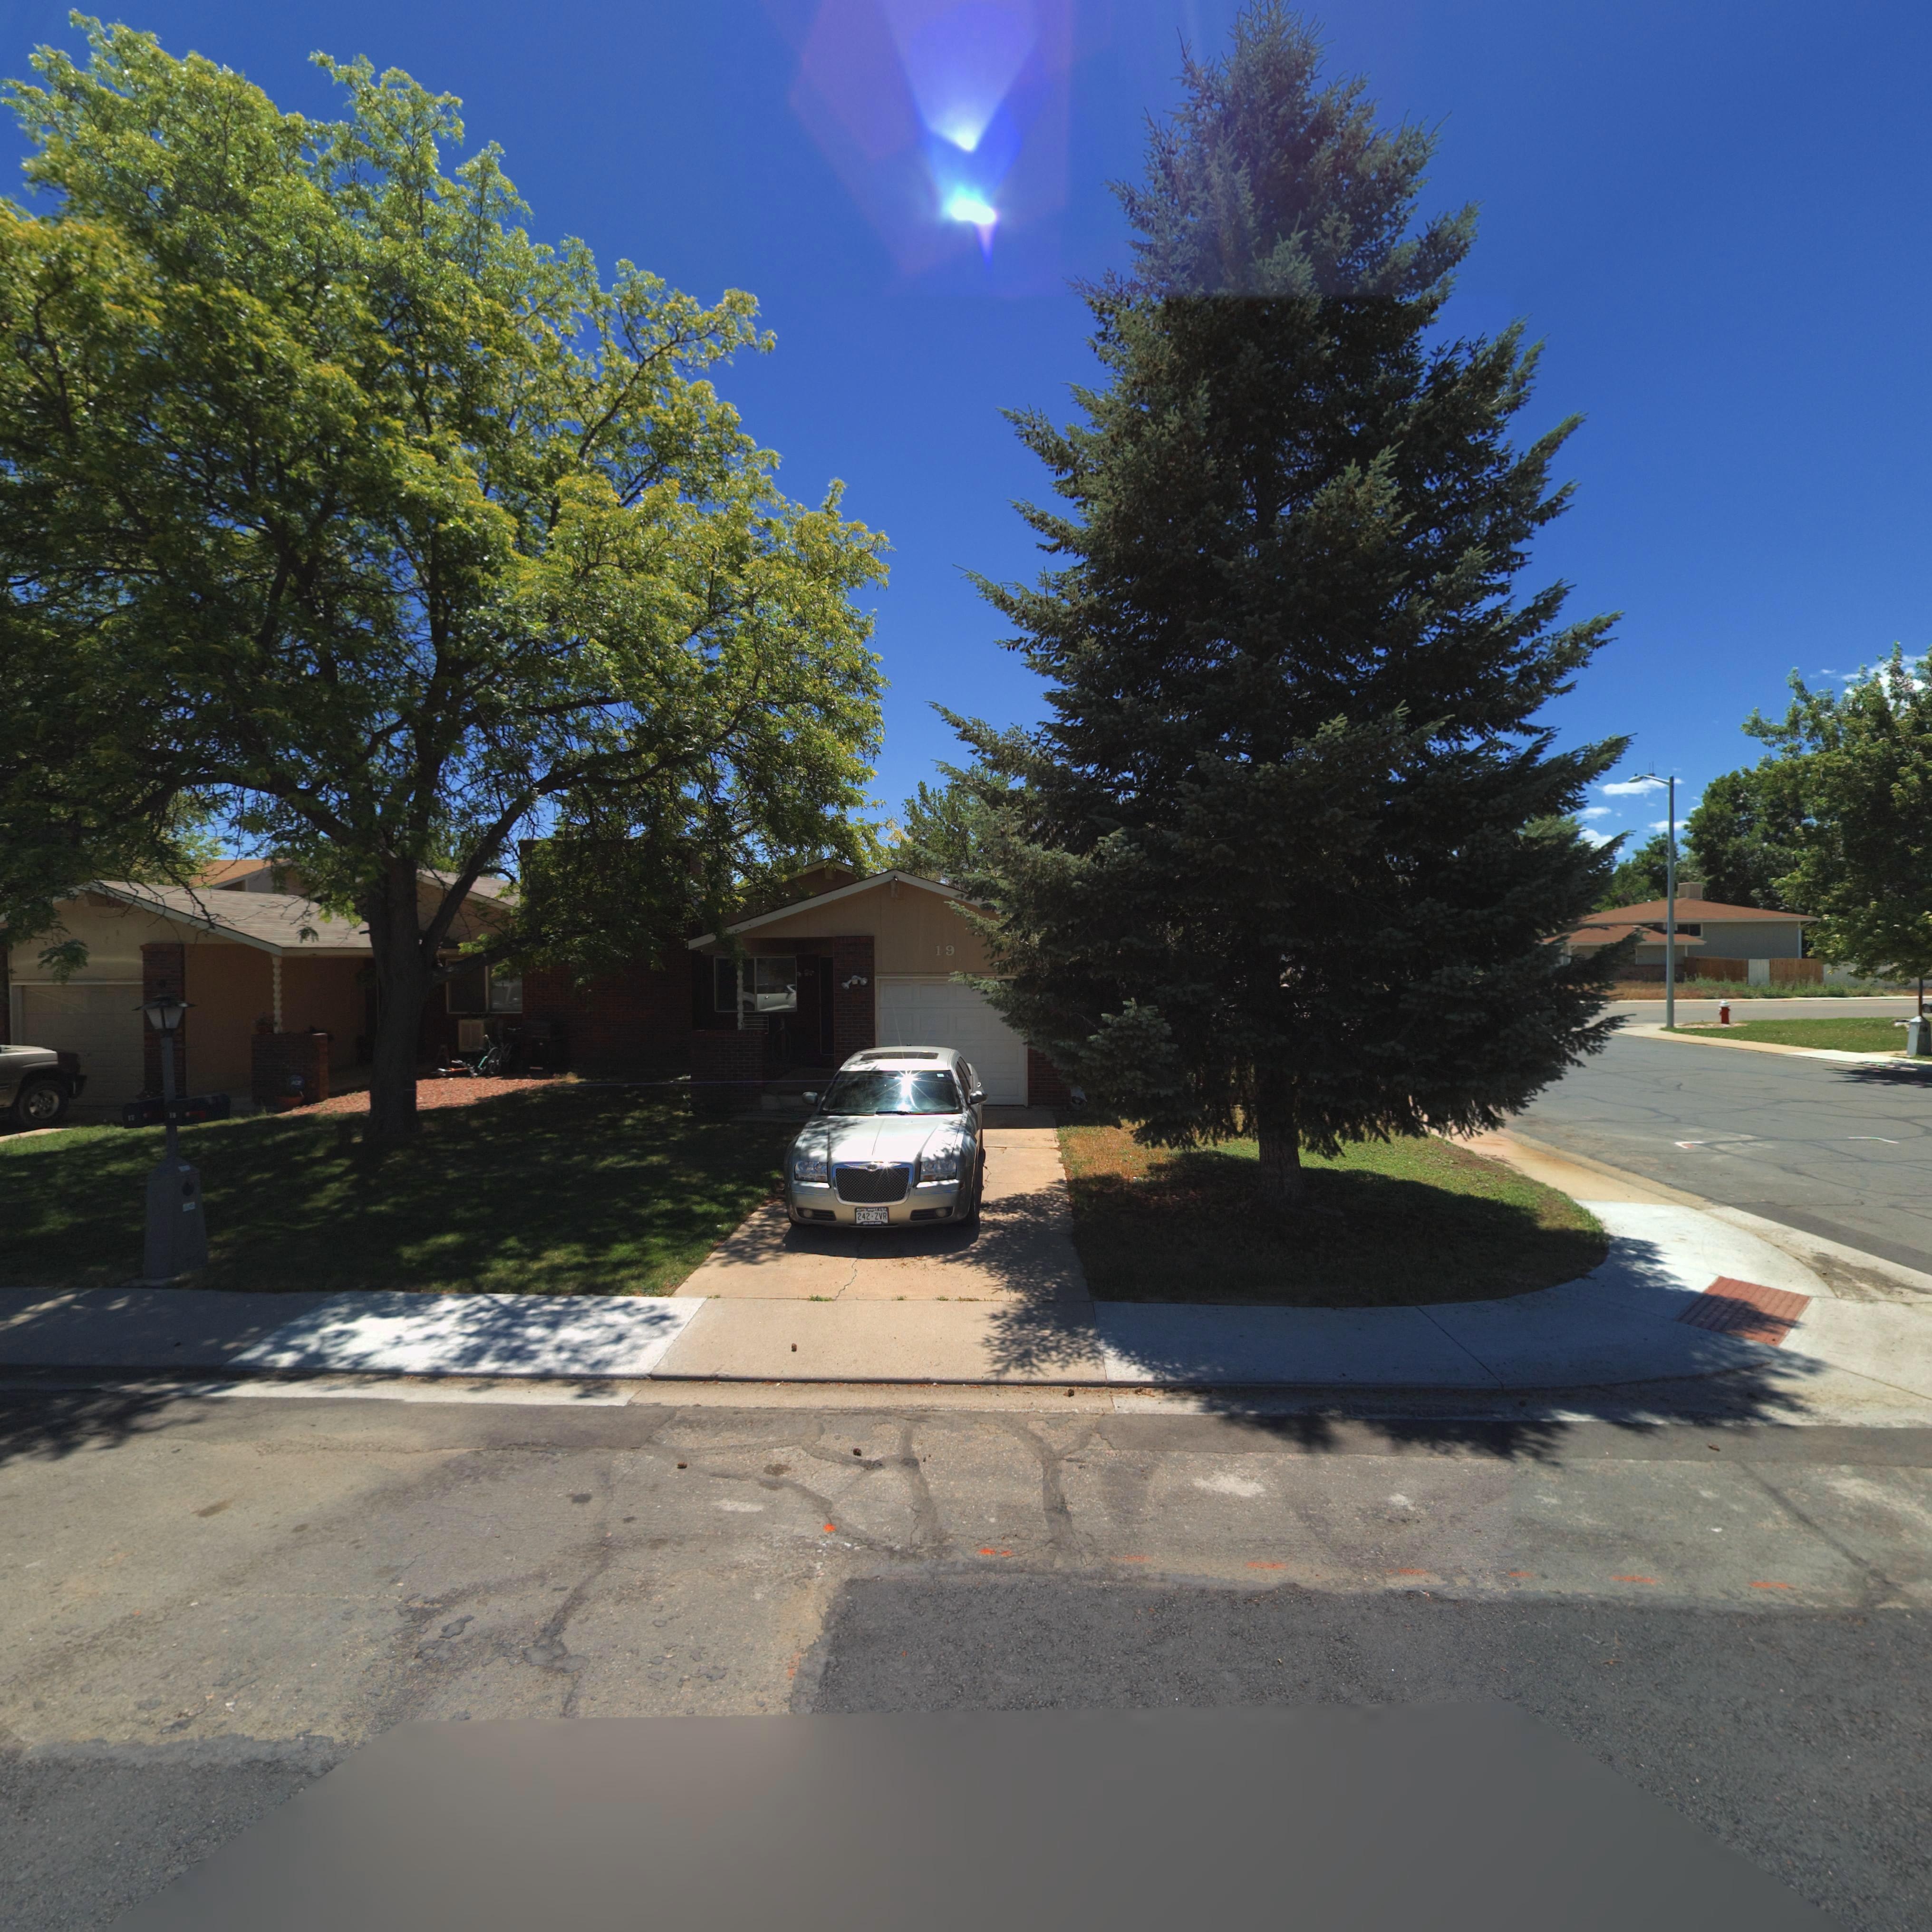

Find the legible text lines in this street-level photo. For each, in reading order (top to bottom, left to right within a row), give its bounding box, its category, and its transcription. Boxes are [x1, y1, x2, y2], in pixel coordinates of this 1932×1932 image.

[934, 944, 955, 956] StreetNumber: 19
[127, 1114, 135, 1121] StreetNumber: 17
[168, 1112, 176, 1118] StreetNumber: 19